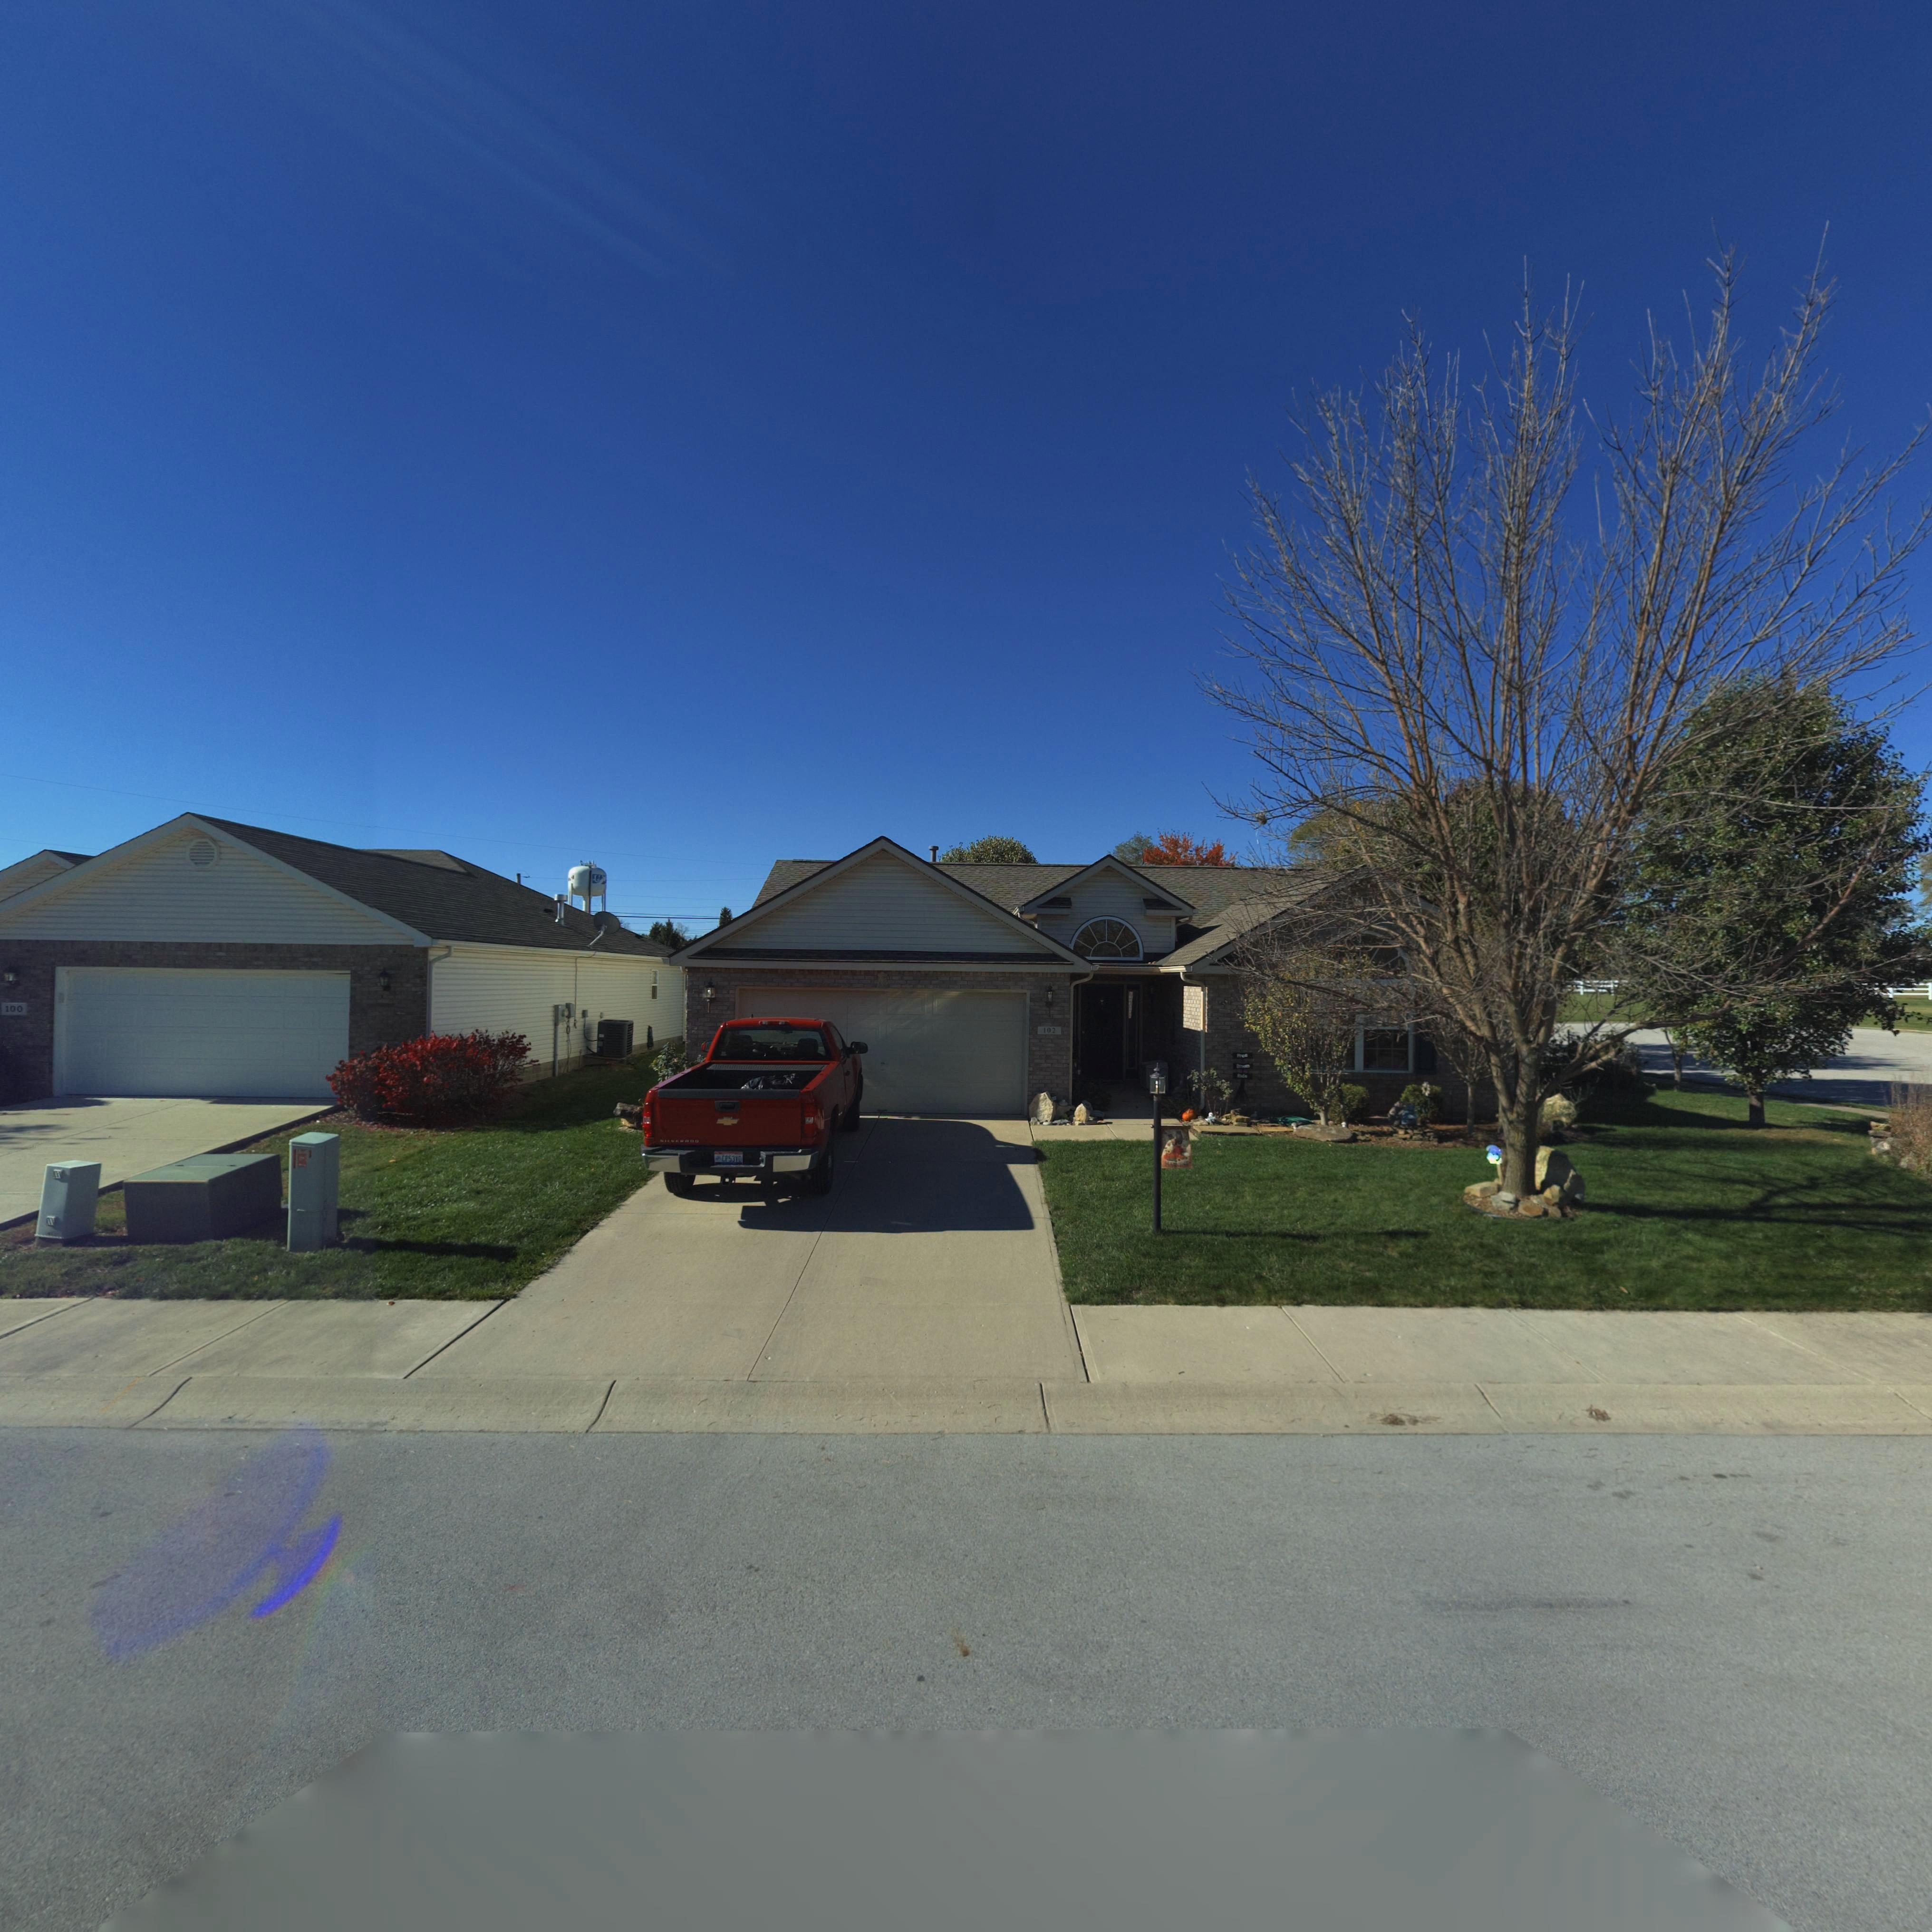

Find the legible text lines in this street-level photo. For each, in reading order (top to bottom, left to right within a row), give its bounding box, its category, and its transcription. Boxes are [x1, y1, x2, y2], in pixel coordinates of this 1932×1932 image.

[4, 1004, 24, 1014] StreetNumber: 100
[1043, 1026, 1056, 1034] StreetNumber: 102